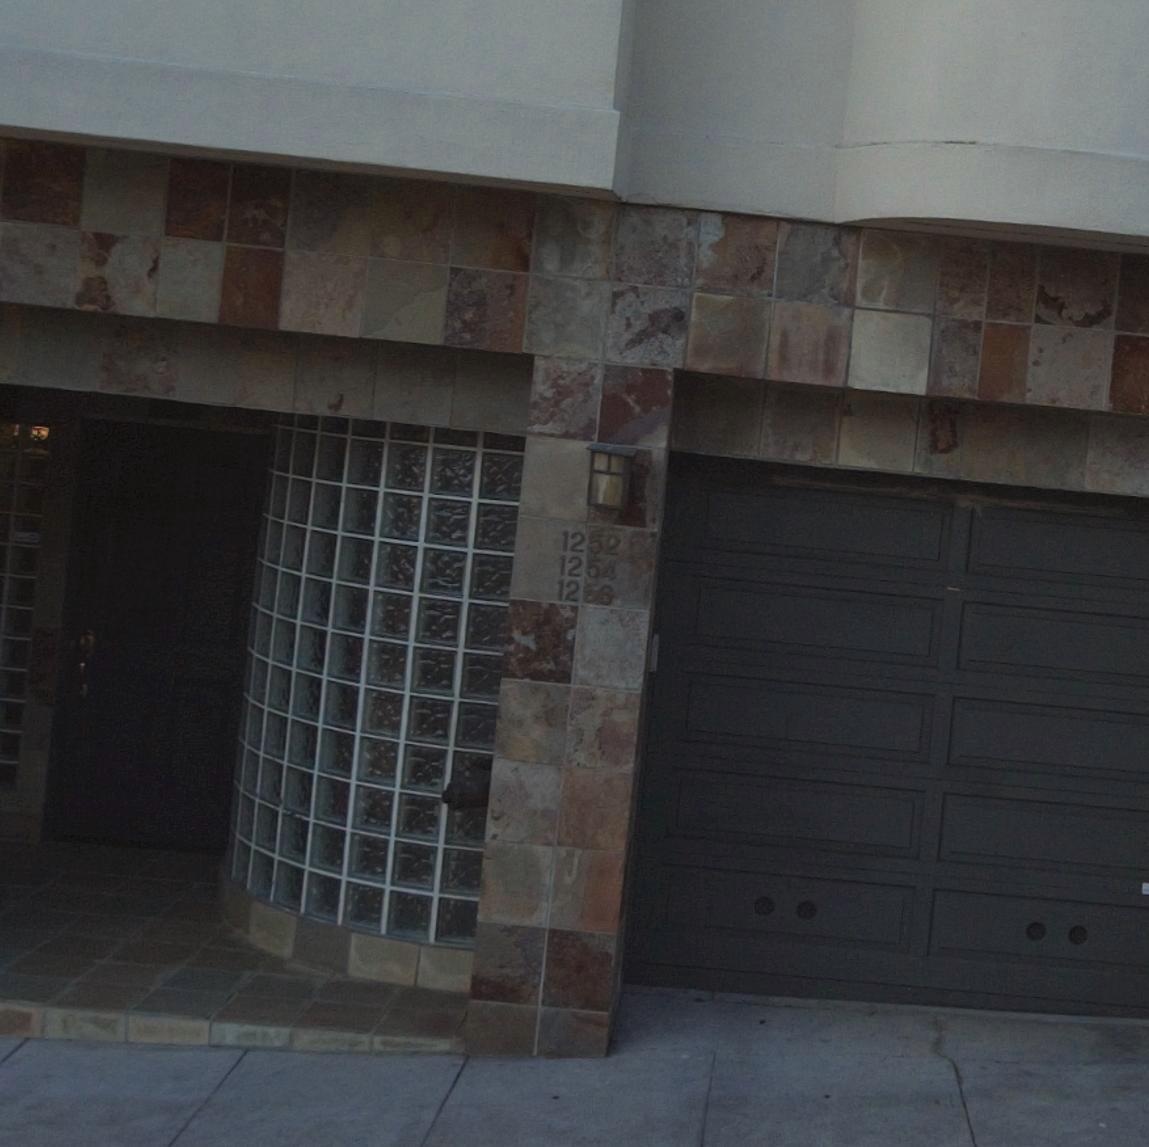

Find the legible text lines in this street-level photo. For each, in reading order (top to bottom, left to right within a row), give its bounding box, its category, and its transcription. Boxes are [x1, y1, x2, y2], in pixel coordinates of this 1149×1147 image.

[561, 529, 622, 558] StreetNumber: 1252
[558, 553, 620, 582] StreetNumber: 1254
[555, 576, 616, 607] StreetNumber: 1256